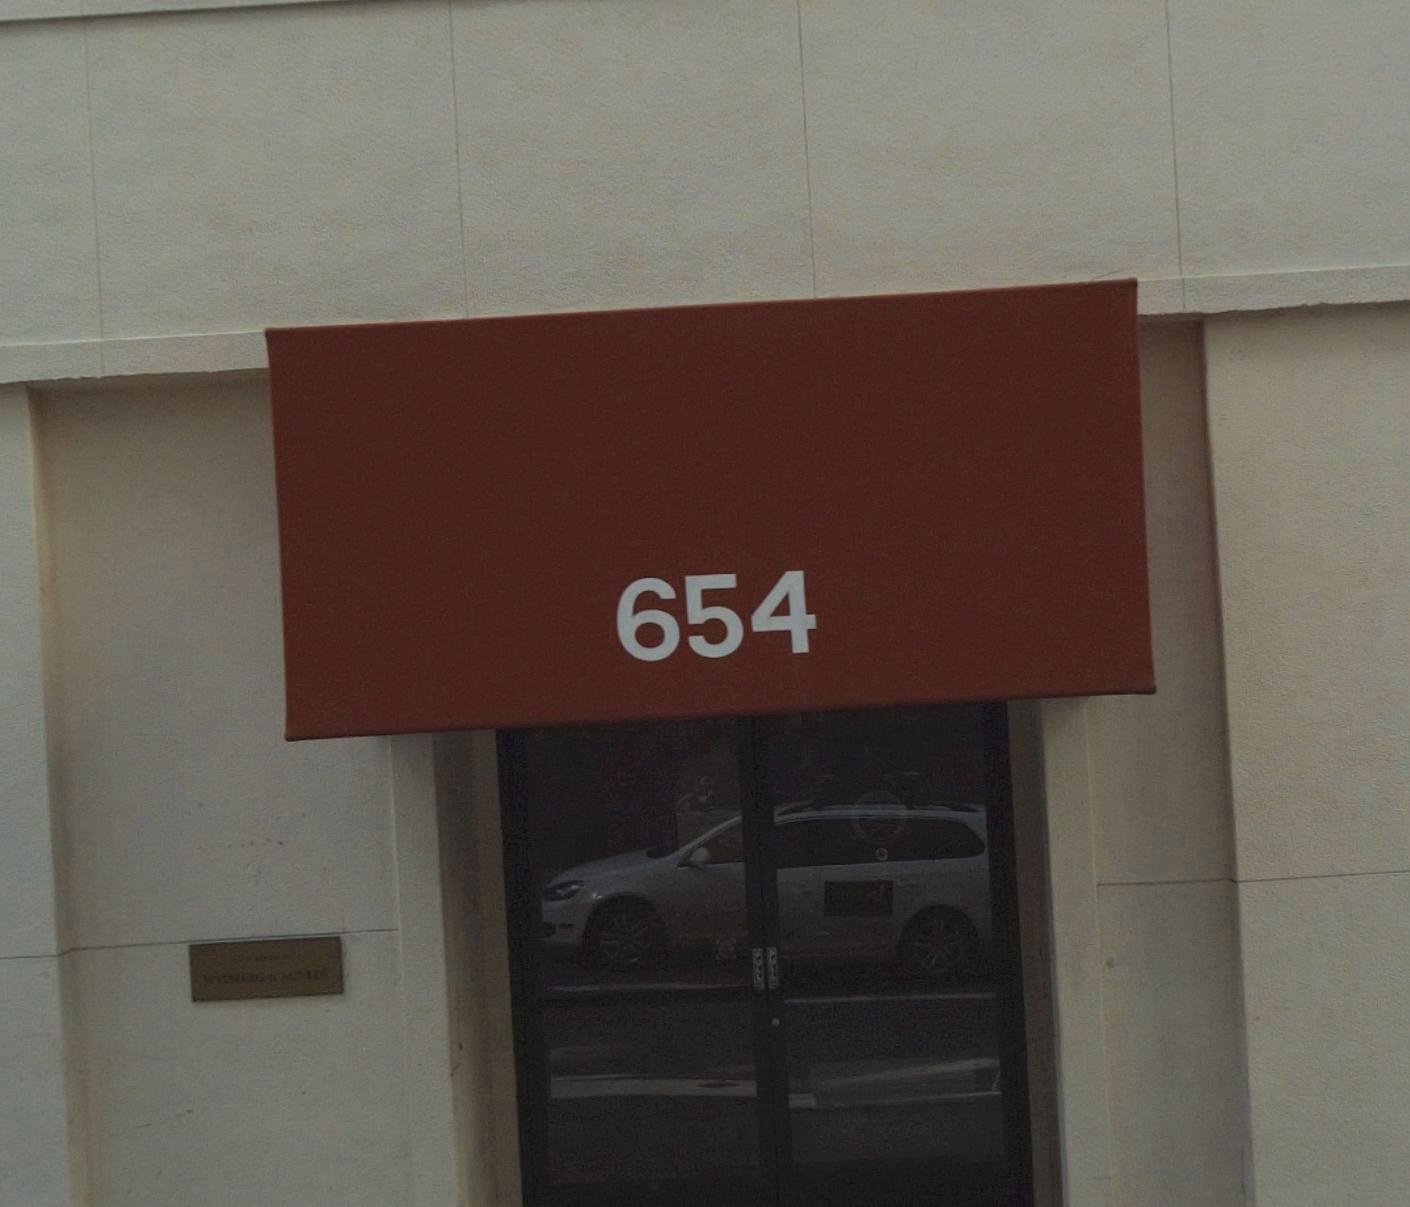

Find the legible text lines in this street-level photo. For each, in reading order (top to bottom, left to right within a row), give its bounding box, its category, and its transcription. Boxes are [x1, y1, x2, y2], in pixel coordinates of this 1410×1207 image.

[608, 566, 824, 668] StreetNumber: 654